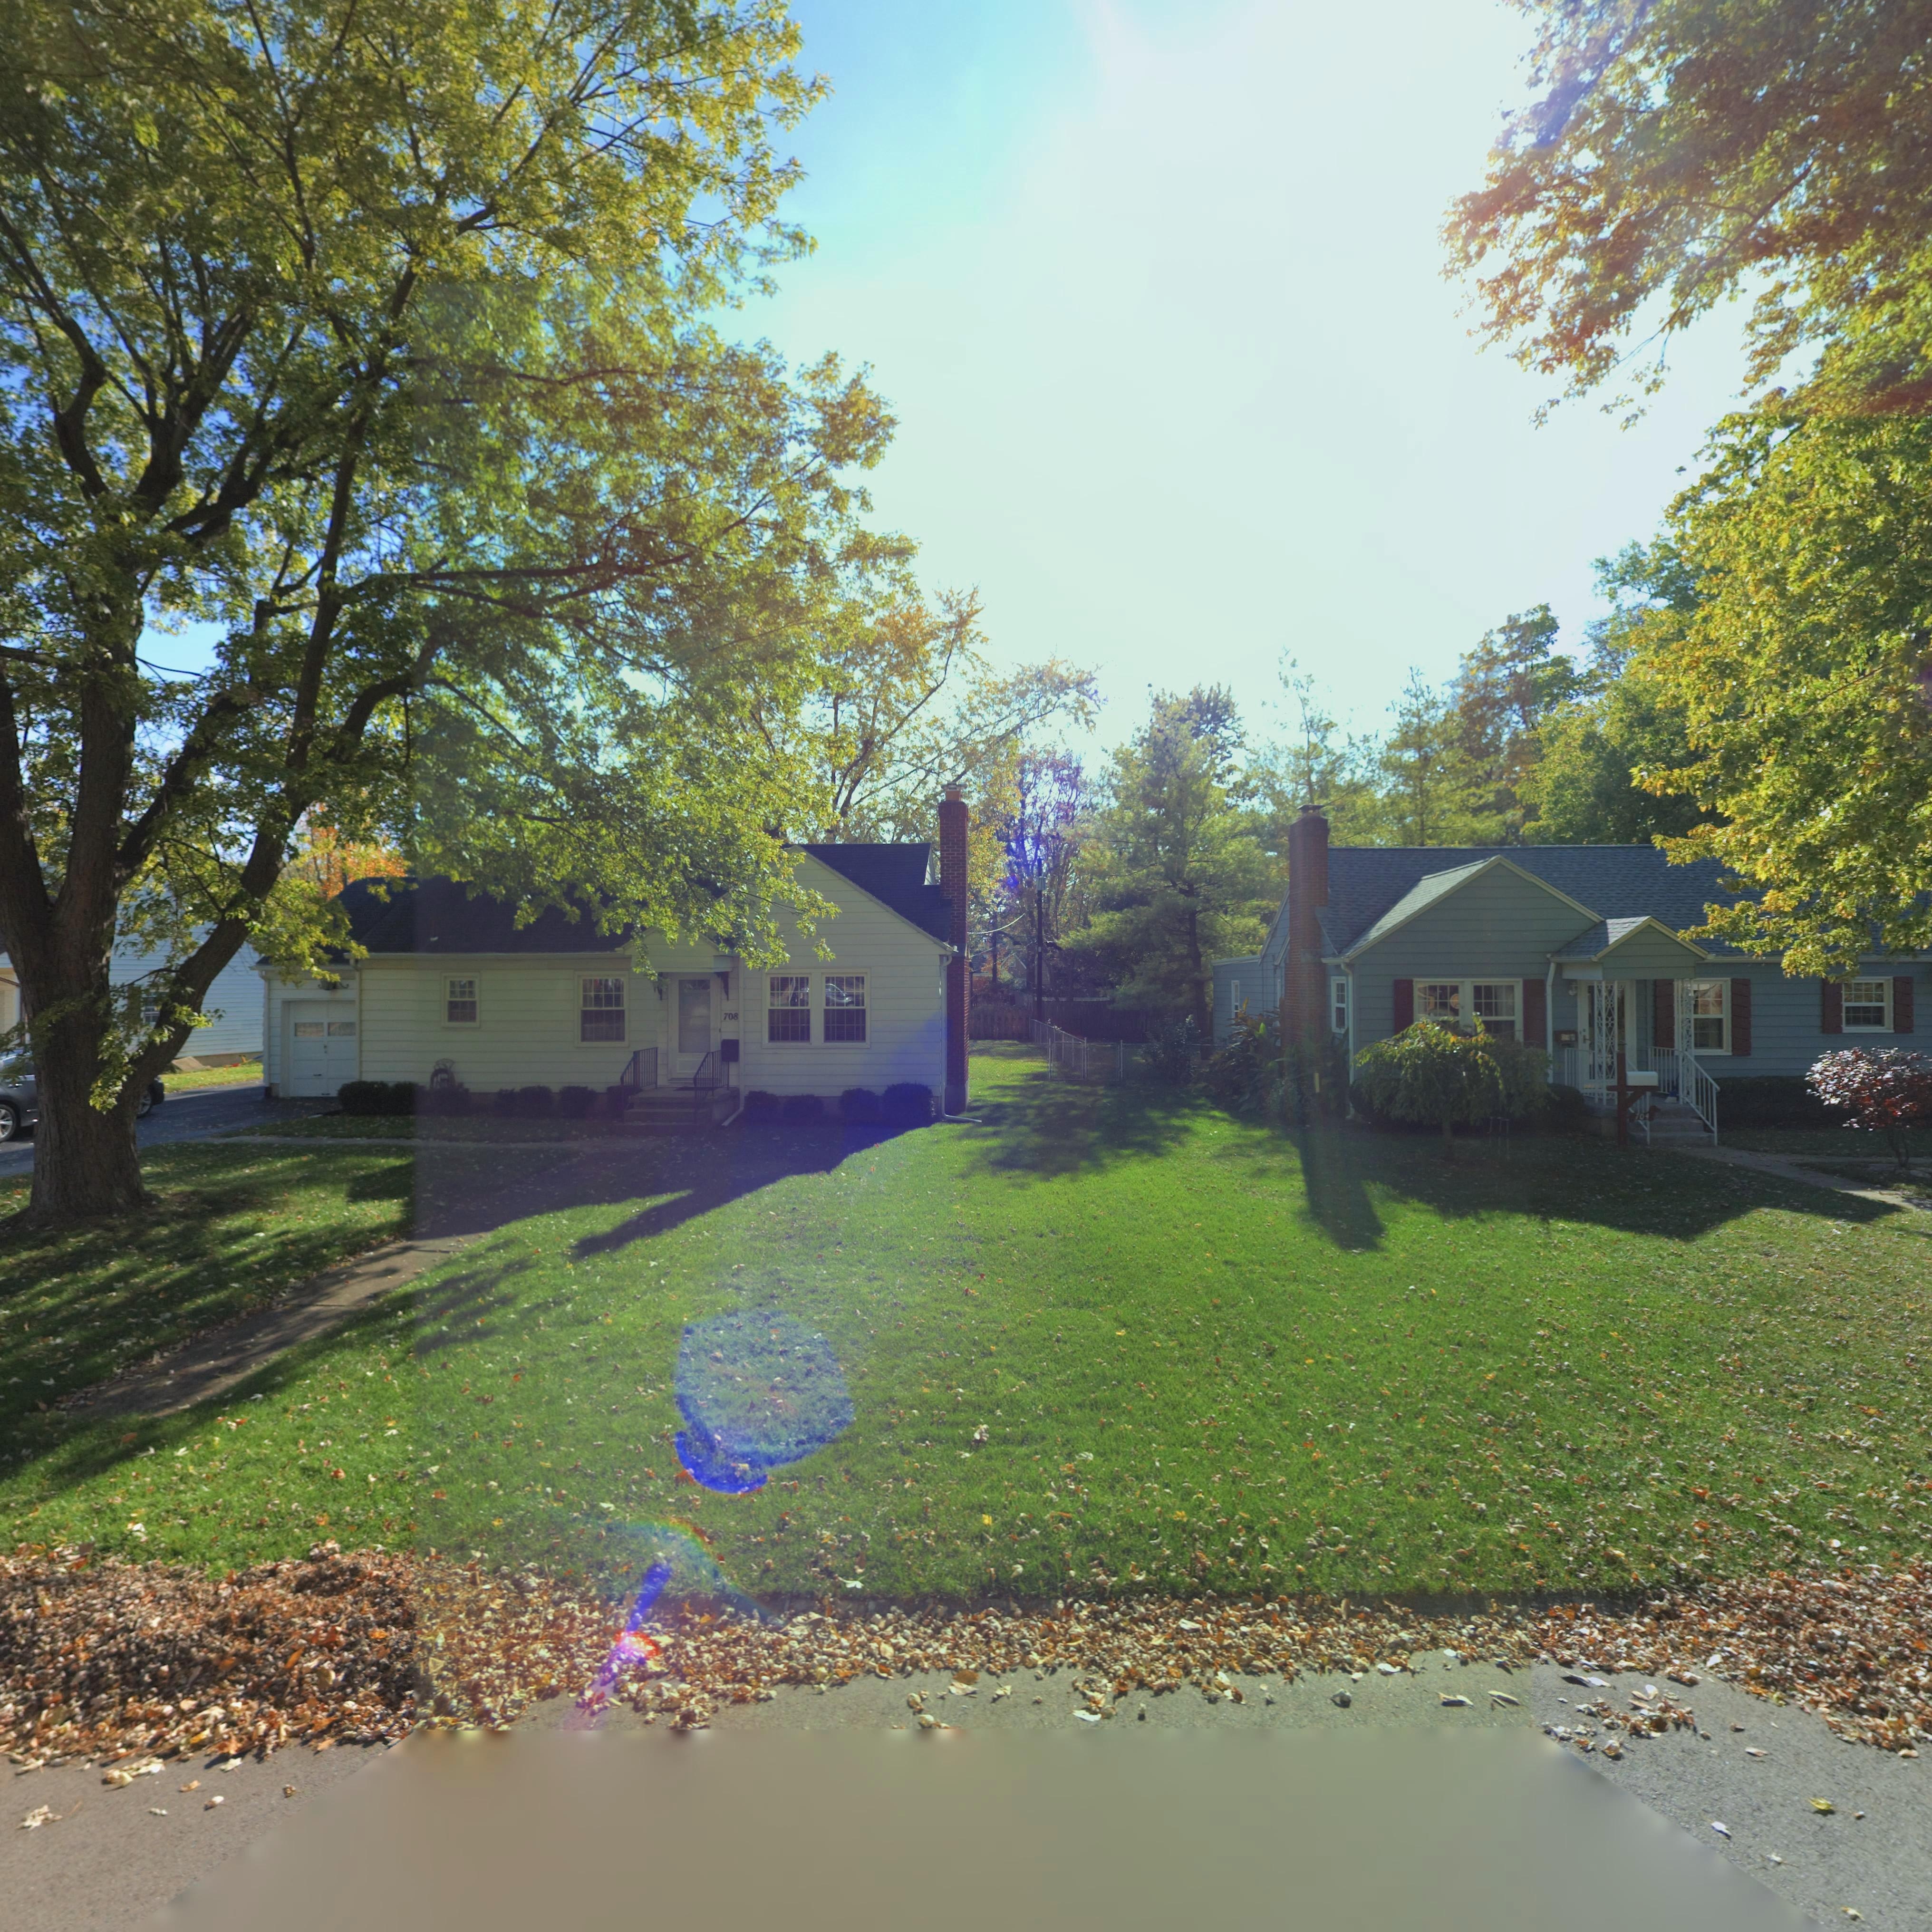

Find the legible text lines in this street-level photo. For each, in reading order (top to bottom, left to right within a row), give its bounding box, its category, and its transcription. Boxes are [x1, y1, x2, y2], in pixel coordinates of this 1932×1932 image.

[723, 1012, 739, 1021] StreetNumber: 708
[1635, 1112, 1650, 1121] StreetNumber: 704